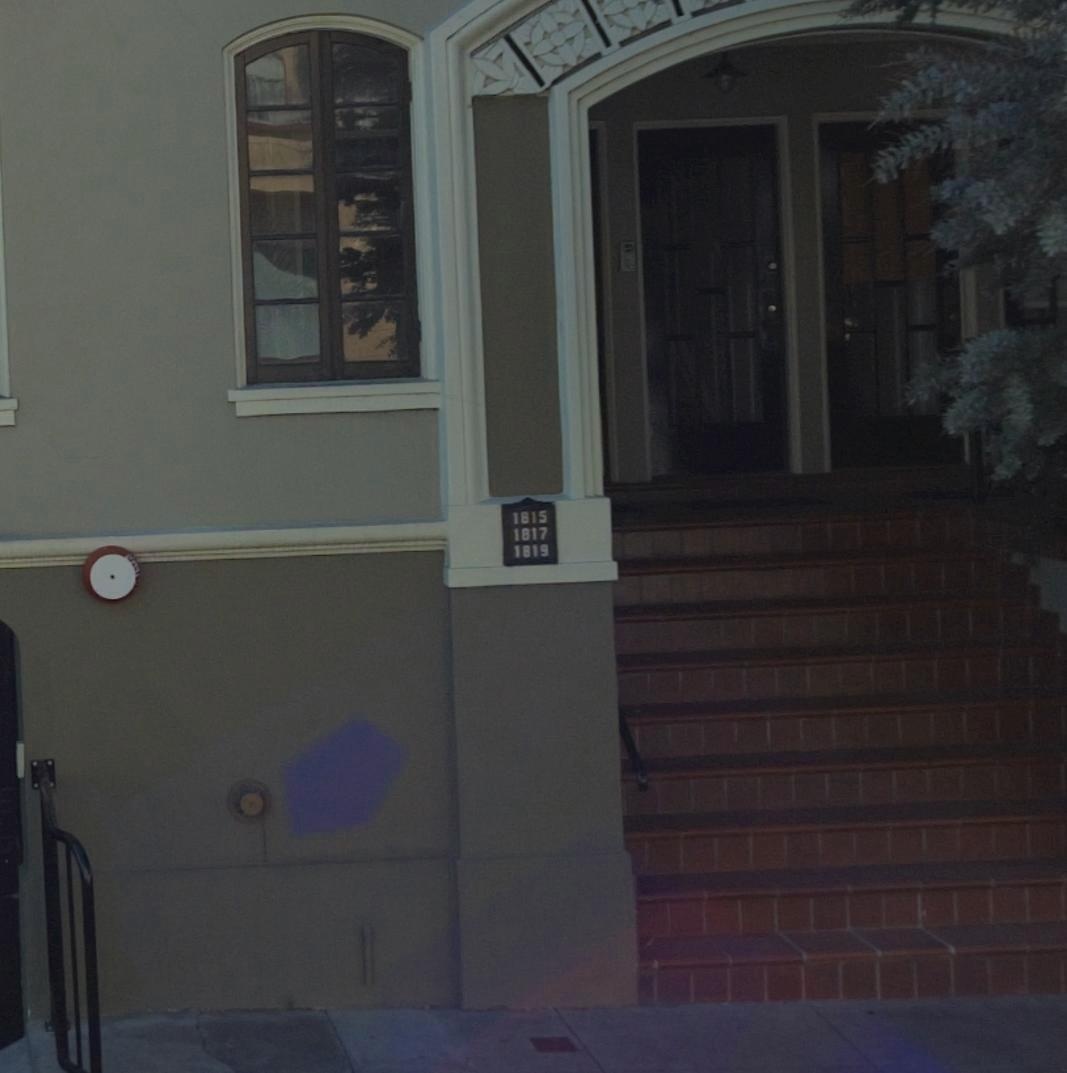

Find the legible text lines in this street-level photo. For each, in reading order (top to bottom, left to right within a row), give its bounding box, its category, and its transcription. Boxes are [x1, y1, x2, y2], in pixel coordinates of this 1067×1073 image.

[511, 509, 548, 525] StreetNumber: 1815
[512, 526, 549, 542] StreetNumber: 1817
[513, 543, 550, 559] StreetNumber: 1819